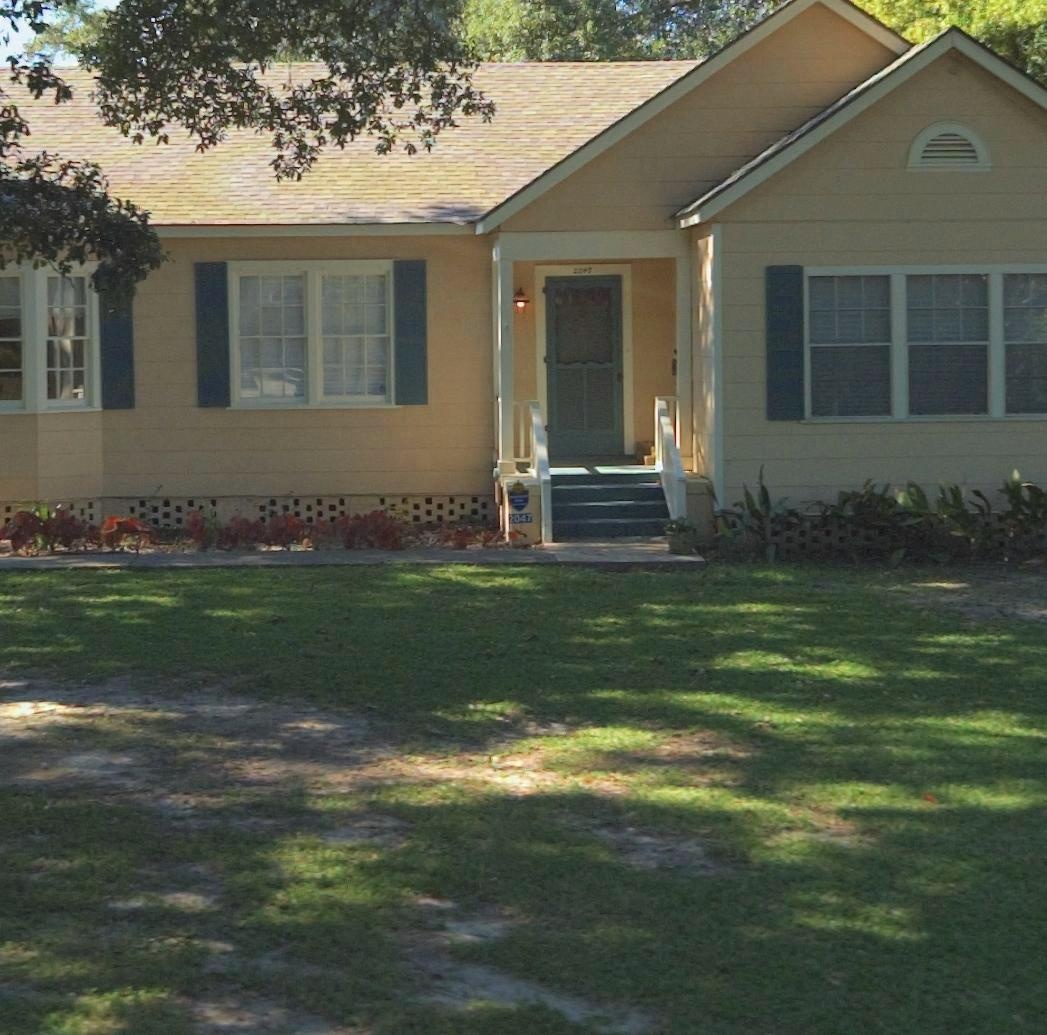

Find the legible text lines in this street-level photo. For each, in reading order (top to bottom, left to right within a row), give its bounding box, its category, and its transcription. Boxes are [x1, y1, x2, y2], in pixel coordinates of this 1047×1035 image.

[571, 265, 594, 276] StreetNumber: 20*7
[508, 513, 534, 525] StreetNumber: 2047